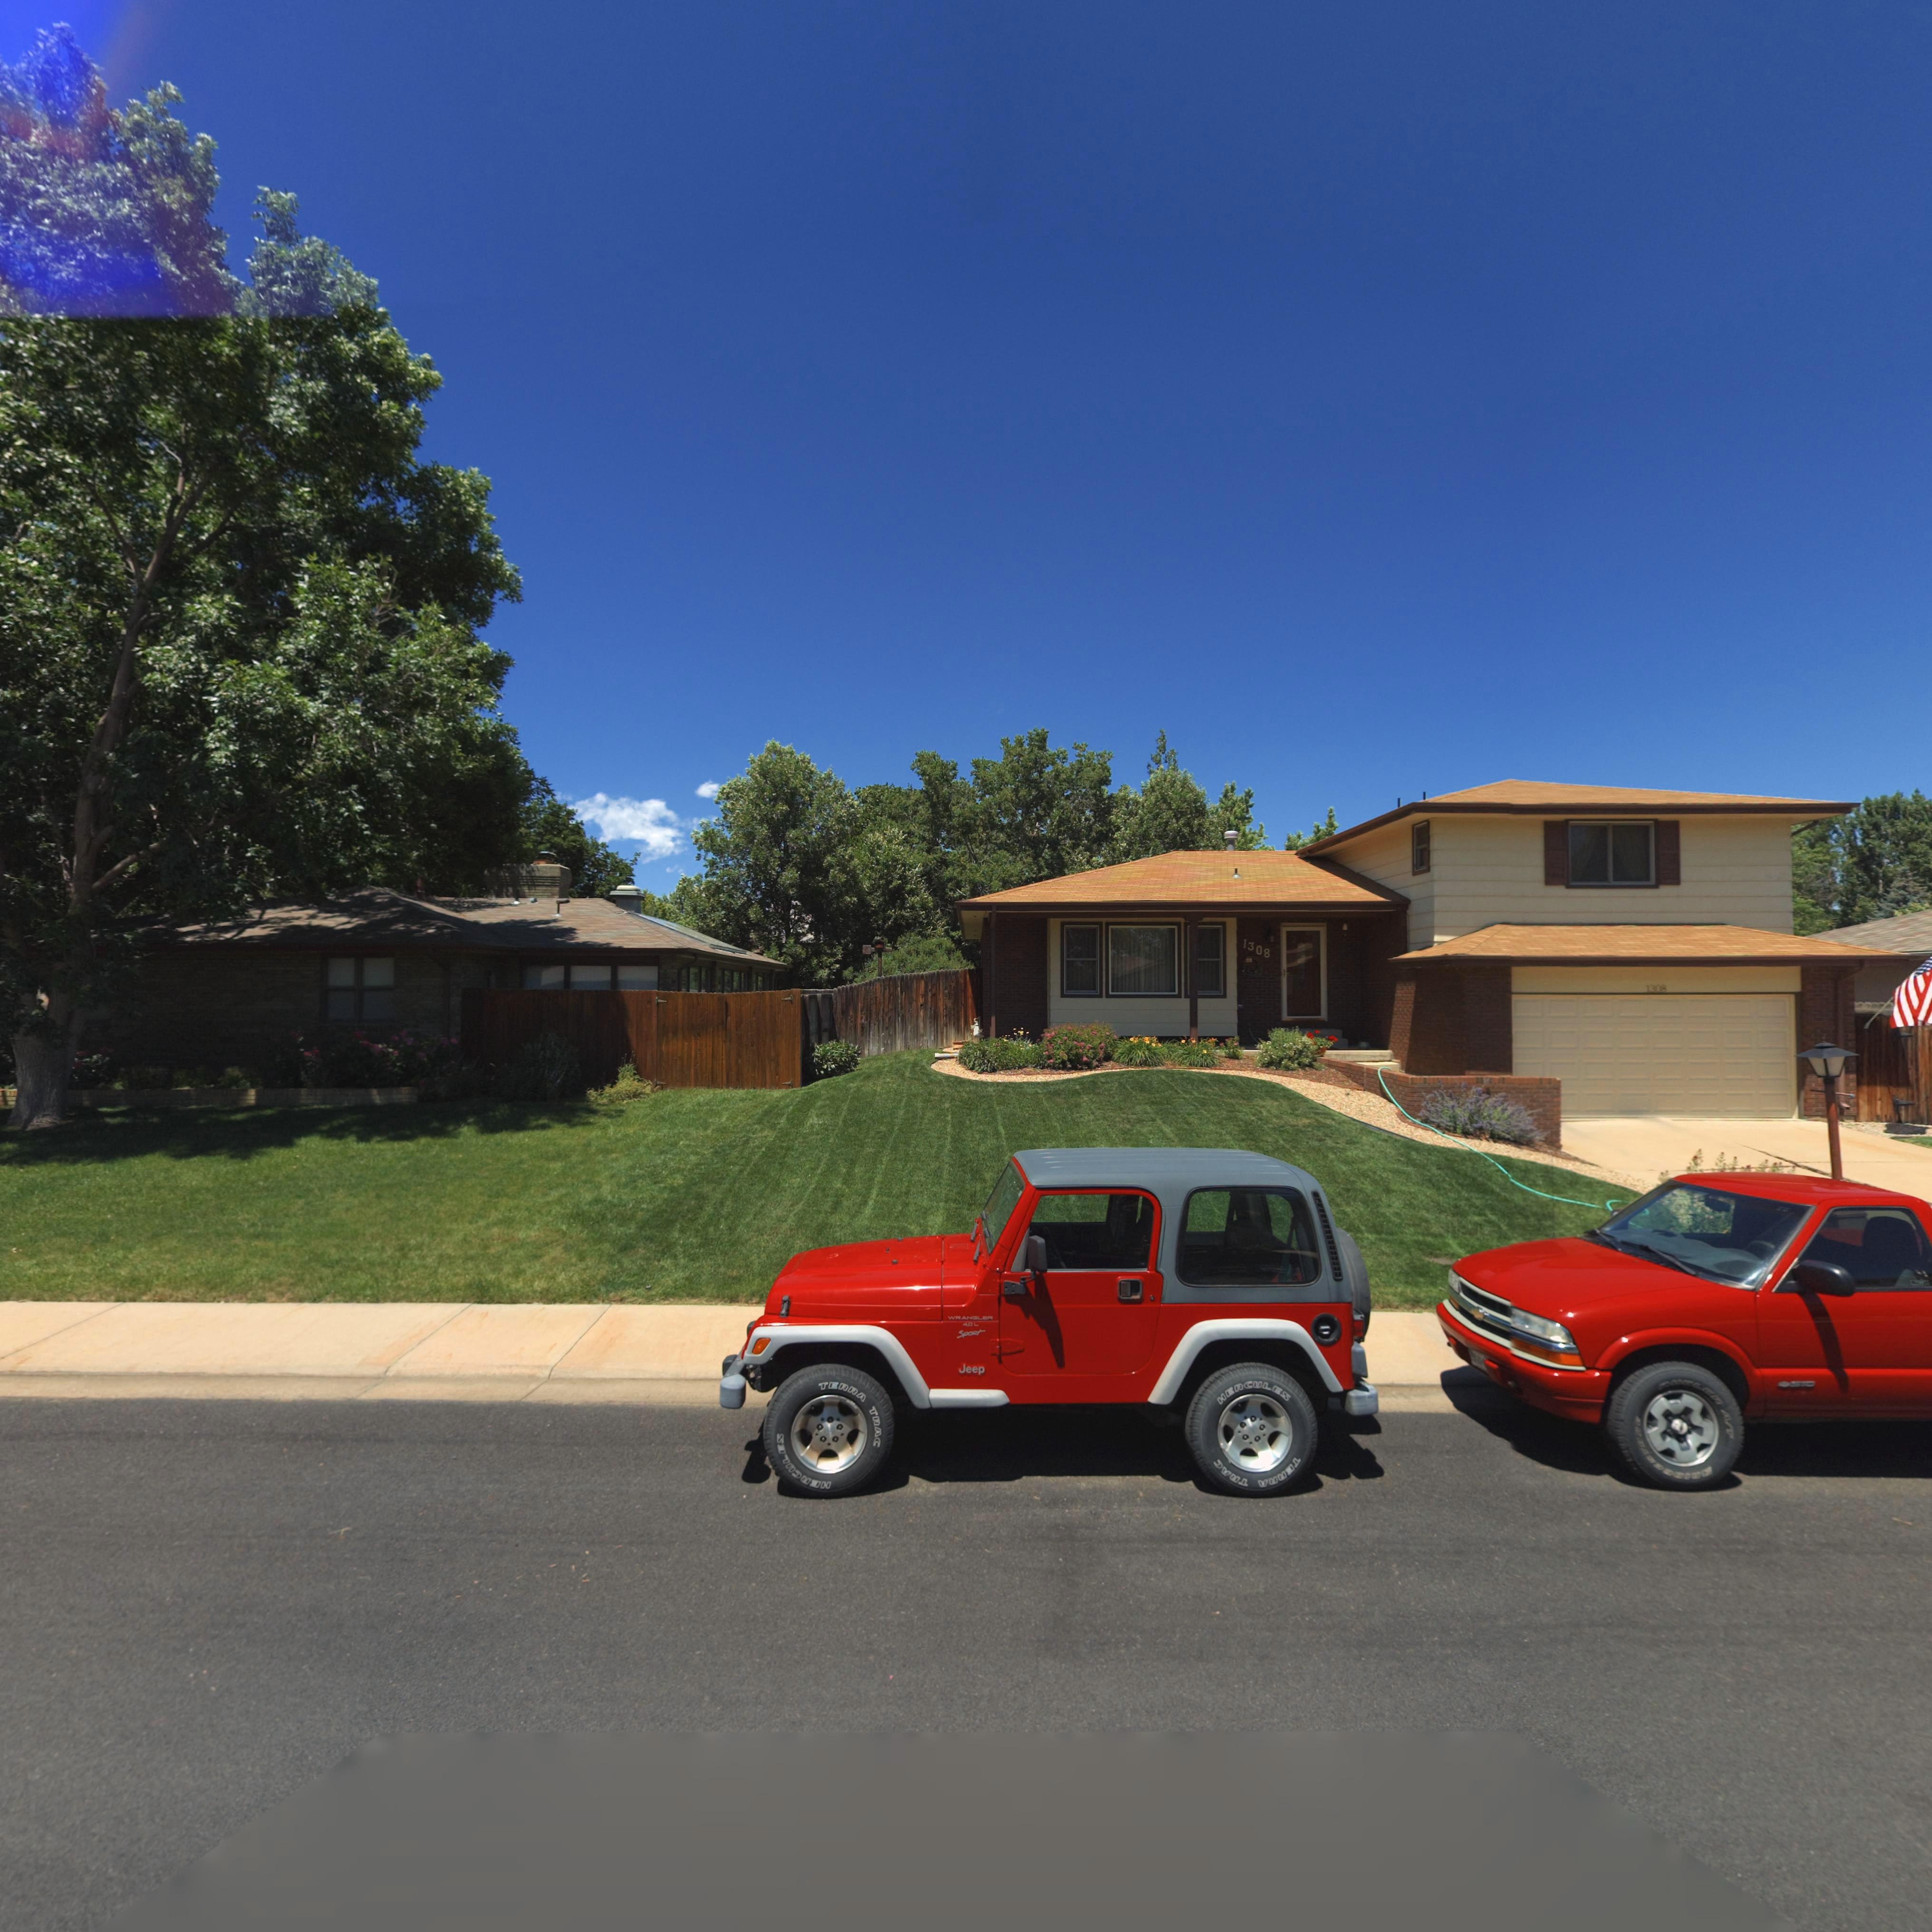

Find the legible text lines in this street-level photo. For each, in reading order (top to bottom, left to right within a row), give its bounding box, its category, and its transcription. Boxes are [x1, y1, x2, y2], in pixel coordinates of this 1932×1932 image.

[1242, 937, 1269, 958] StreetNumber: 1308
[1646, 984, 1666, 992] StreetNumber: 1308